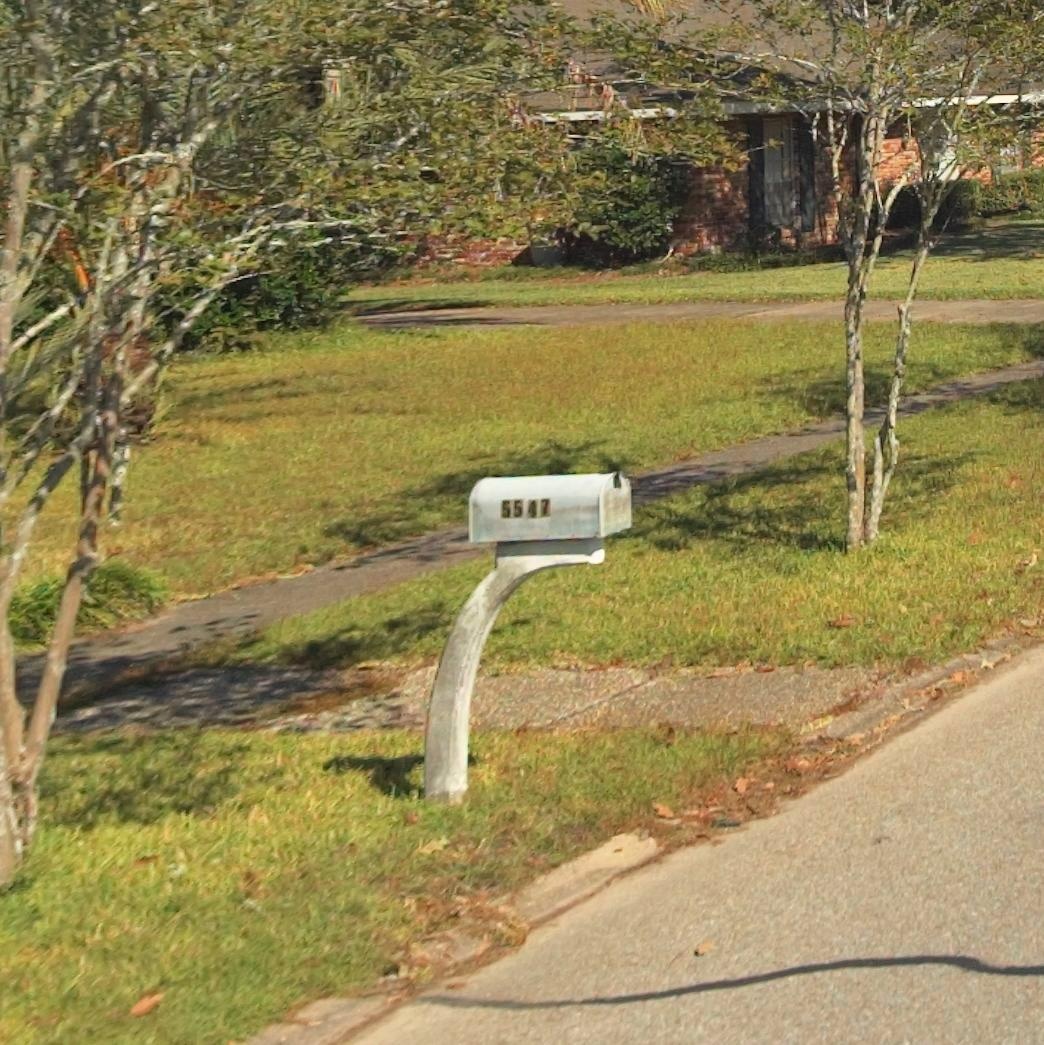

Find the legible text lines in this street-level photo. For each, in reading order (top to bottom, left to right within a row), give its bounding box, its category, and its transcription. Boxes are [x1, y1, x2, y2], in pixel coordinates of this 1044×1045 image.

[499, 497, 551, 520] StreetNumber: 5547